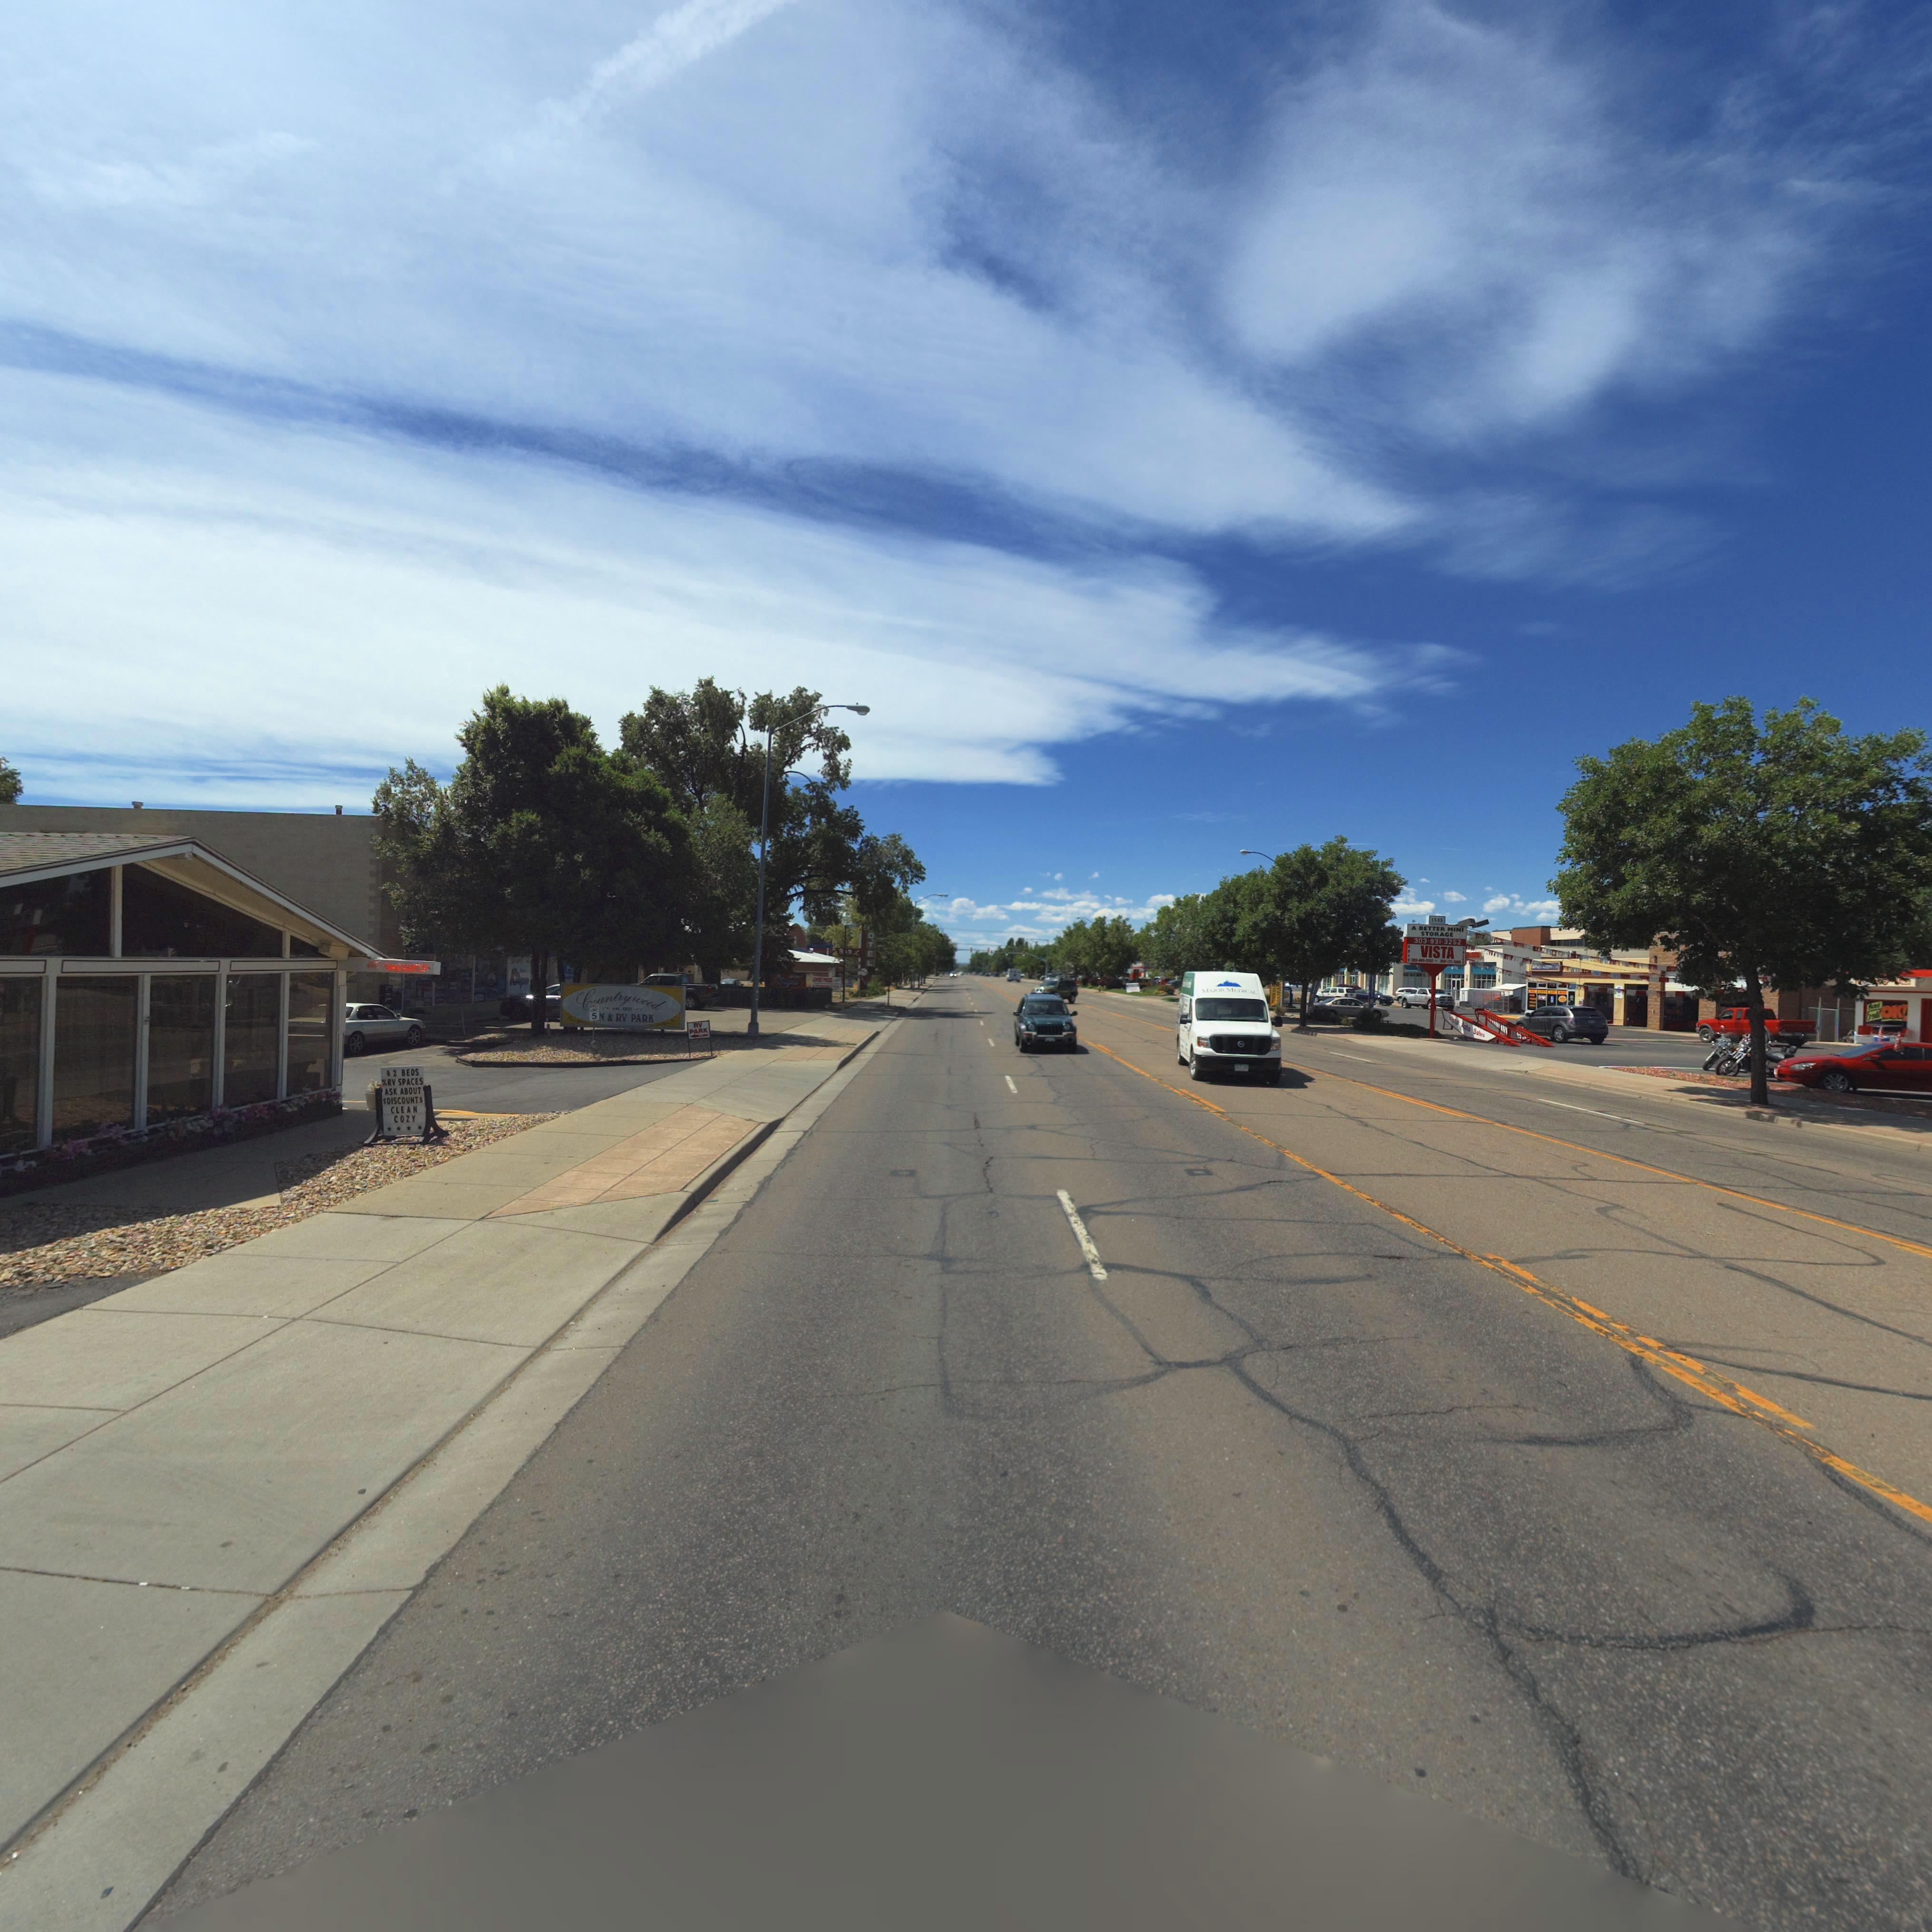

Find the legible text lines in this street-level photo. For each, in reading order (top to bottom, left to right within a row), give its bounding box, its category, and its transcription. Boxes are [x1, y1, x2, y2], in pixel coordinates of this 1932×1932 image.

[1431, 917, 1443, 923] StreetNumber: 1545
[839, 948, 860, 956] BusinessName: B*R L
[867, 932, 874, 966] BusinessName: OTEL
[1407, 944, 1410, 962] BusinessName: AUTO
[1420, 945, 1454, 959] BusinessName: VISTA
[770, 973, 801, 988] BusinessName: A*Signs
[576, 987, 667, 1011] BusinessName: Countrywood
[599, 1012, 654, 1023] BusinessName: N * RV PARK
[1448, 1014, 1486, 1038] BusinessName: Vis*a A*to Sal*s